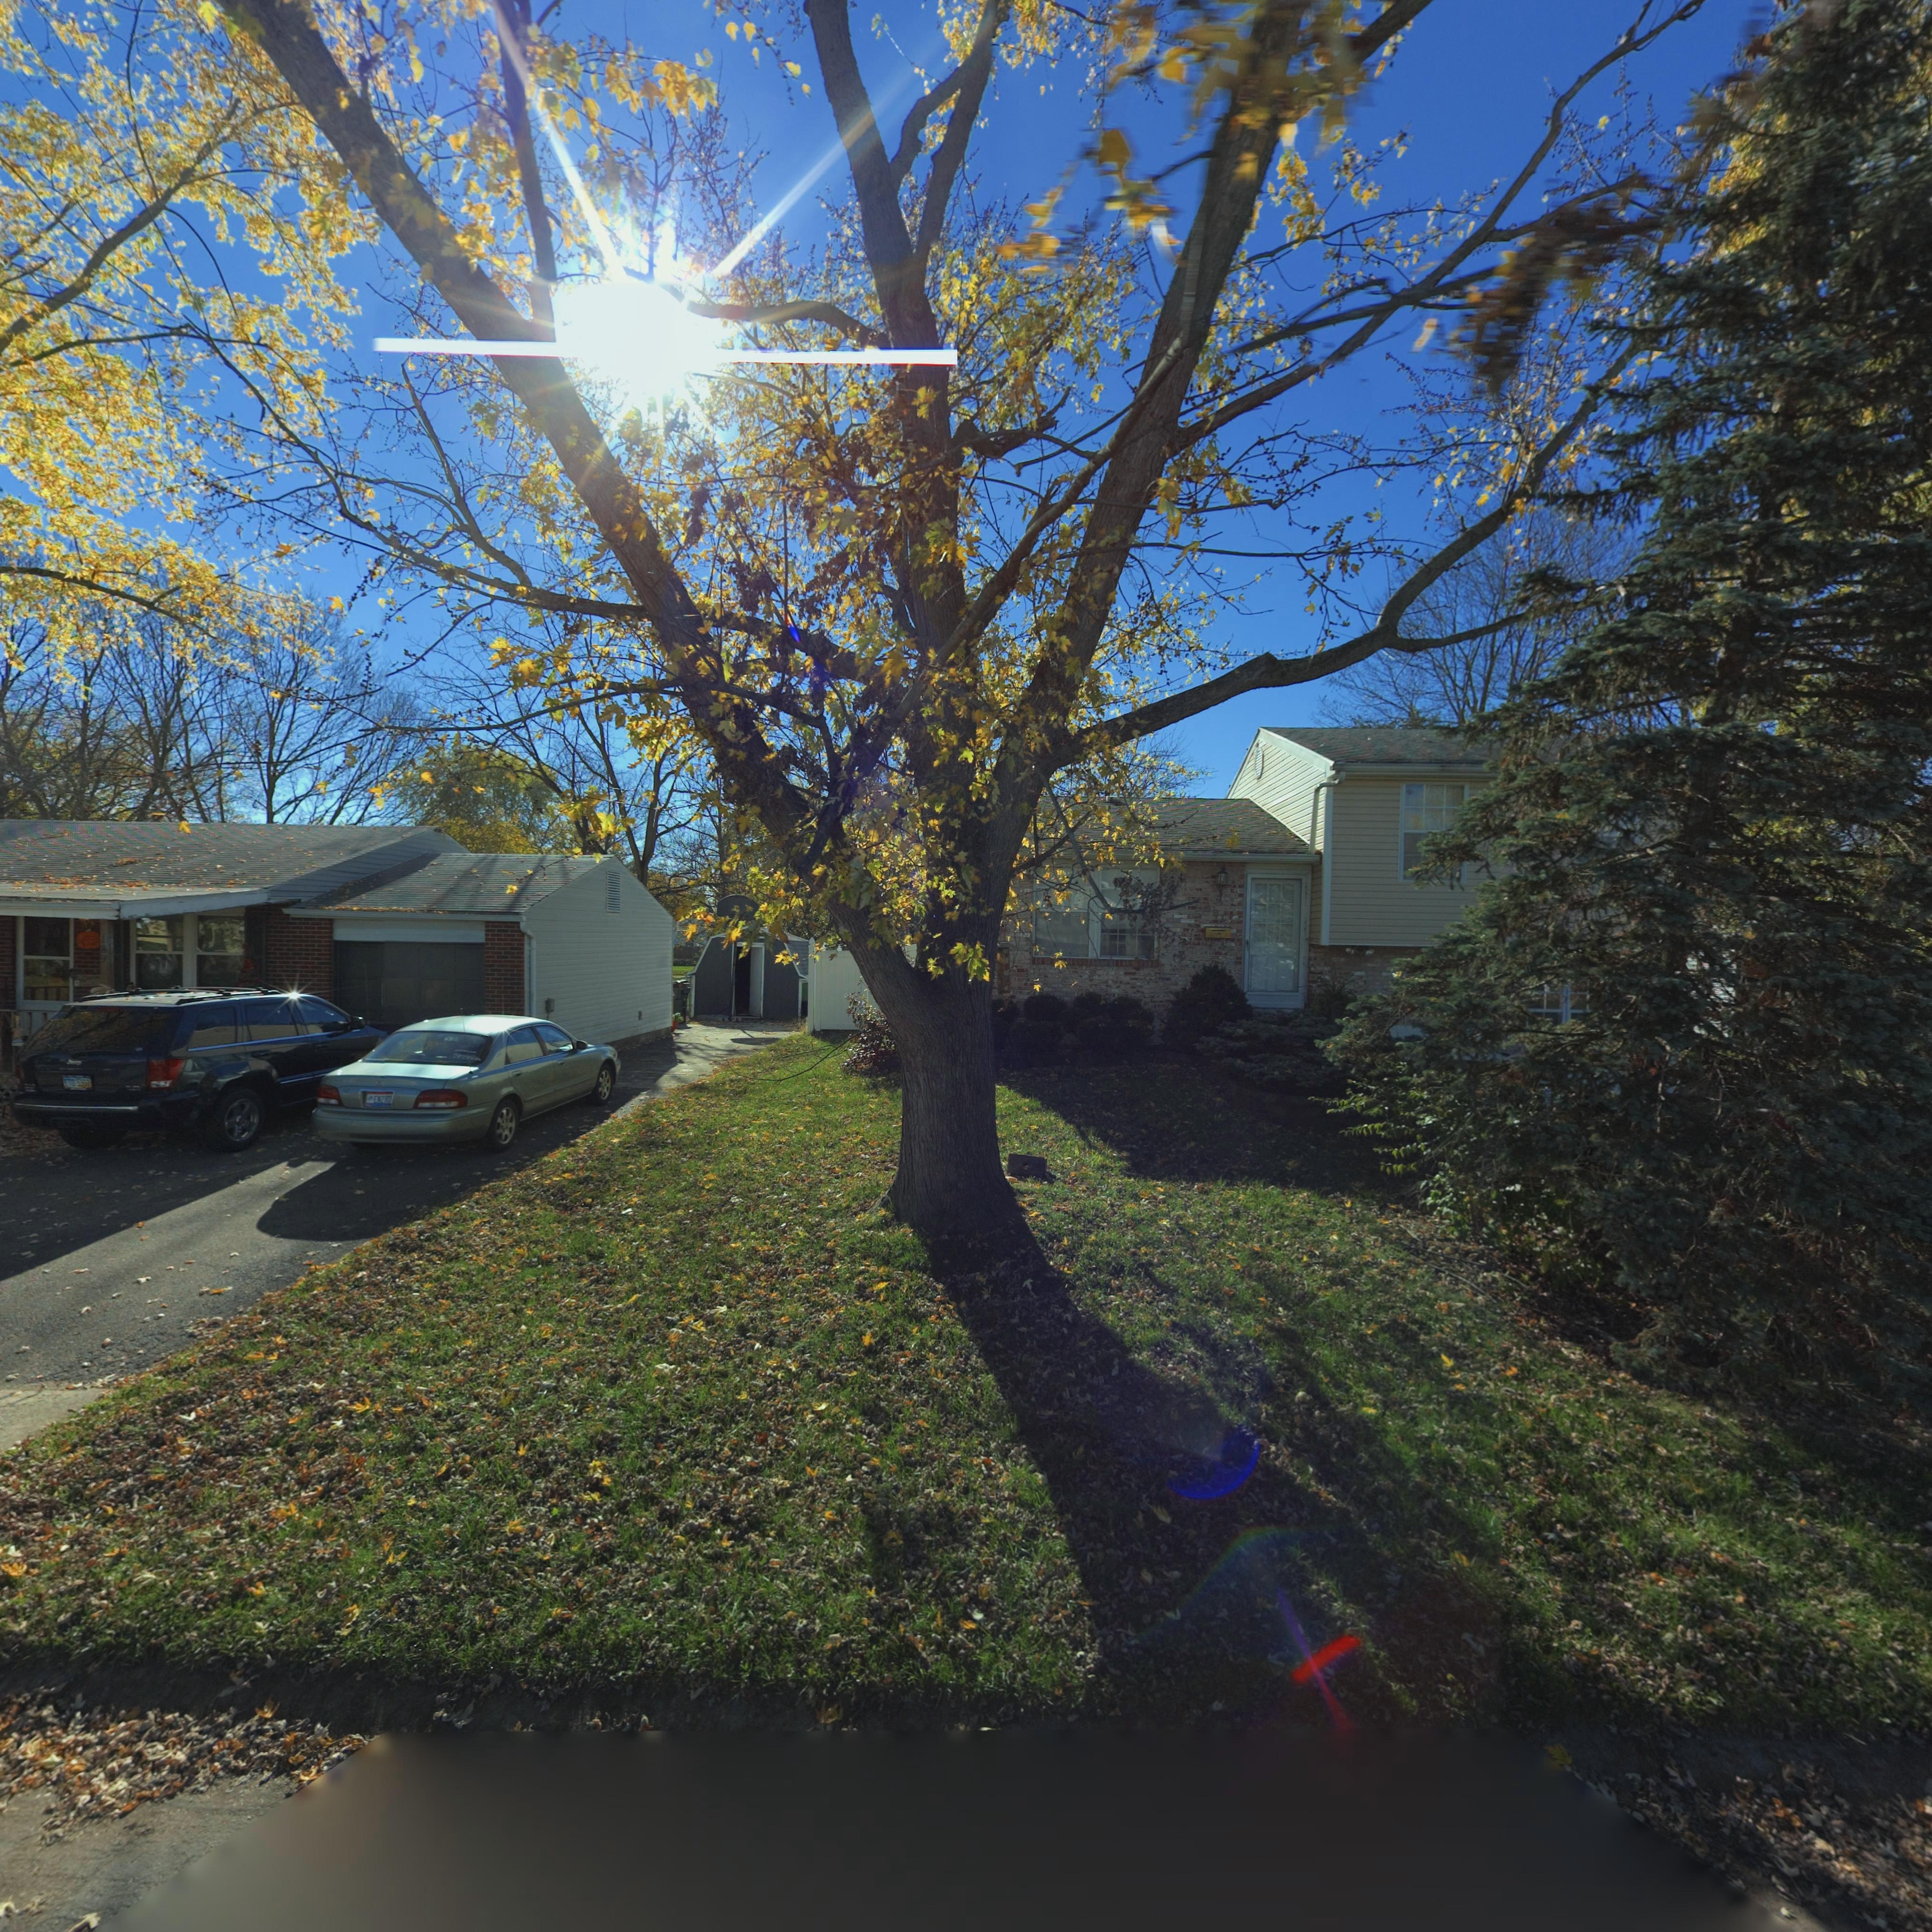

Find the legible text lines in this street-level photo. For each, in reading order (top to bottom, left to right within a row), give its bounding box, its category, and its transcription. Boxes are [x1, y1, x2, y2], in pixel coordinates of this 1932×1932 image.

[100, 934, 108, 963] StreetNumber: 189